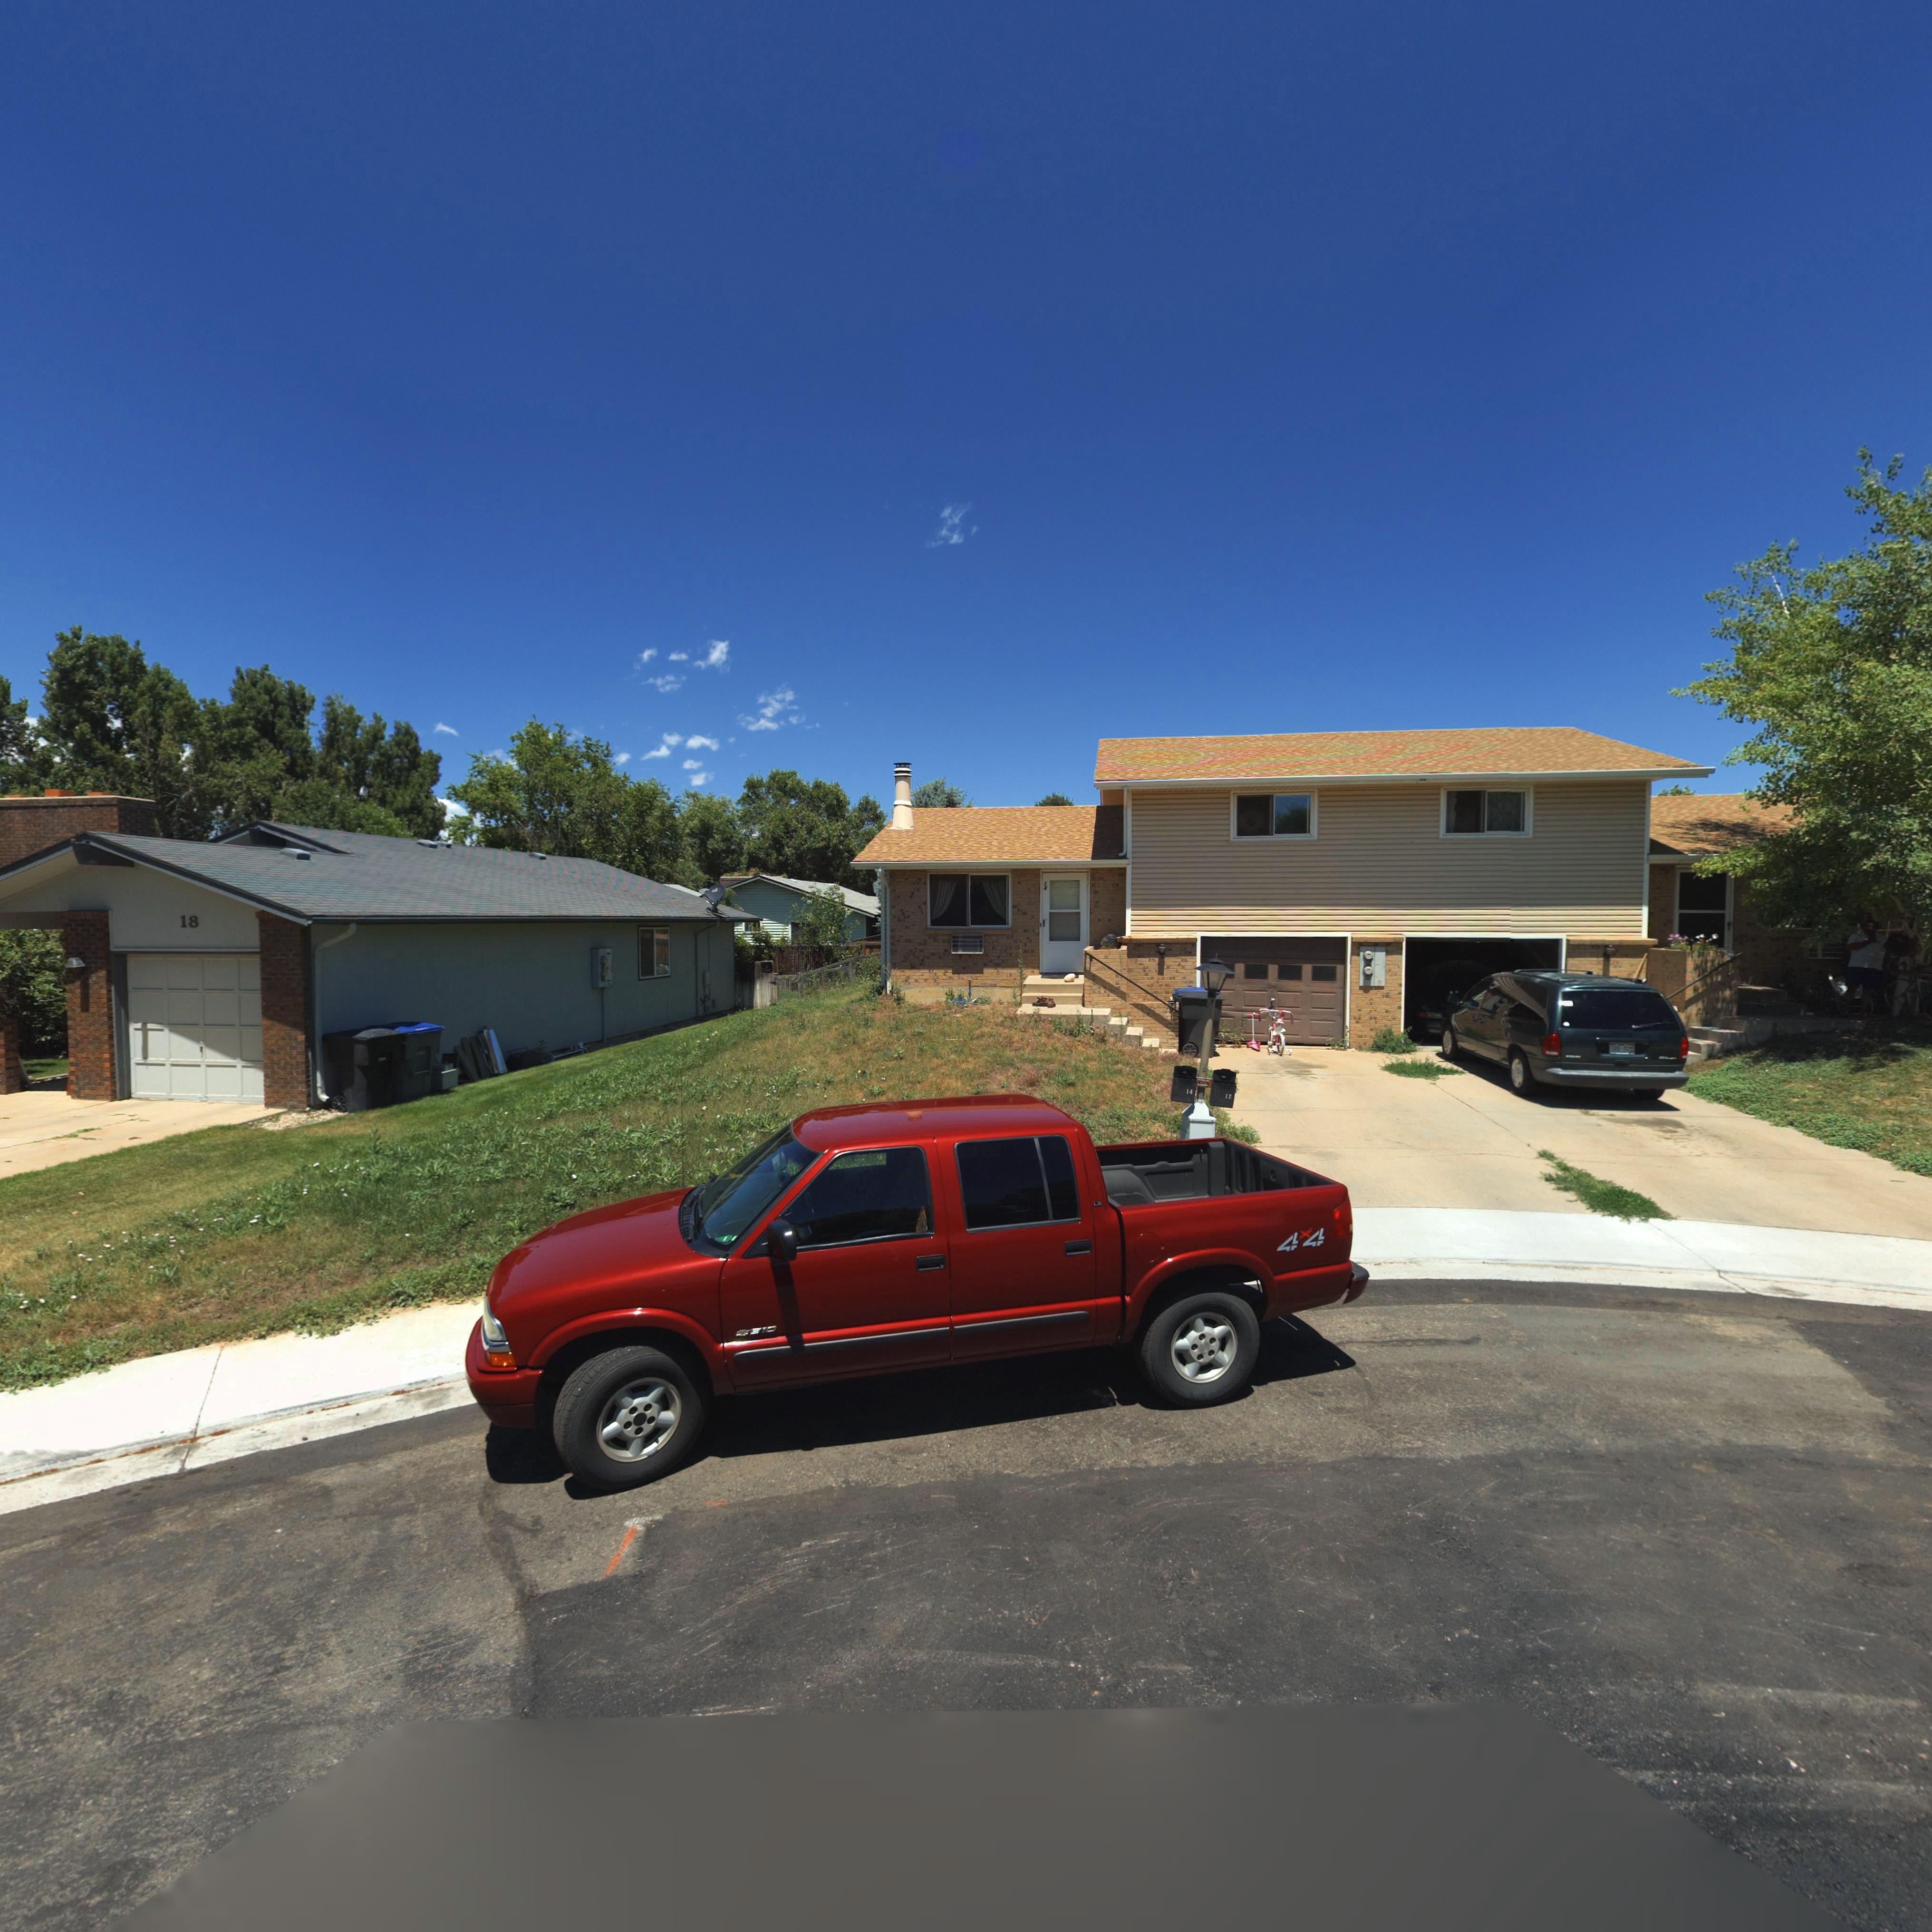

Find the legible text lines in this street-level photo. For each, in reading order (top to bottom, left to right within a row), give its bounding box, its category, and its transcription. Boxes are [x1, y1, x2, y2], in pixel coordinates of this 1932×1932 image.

[1043, 884, 1047, 890] StreetNumber: 4
[179, 914, 199, 928] StreetNumber: 18
[1185, 1088, 1193, 1095] StreetNumber: 14
[1224, 1093, 1232, 1099] StreetNumber: 12